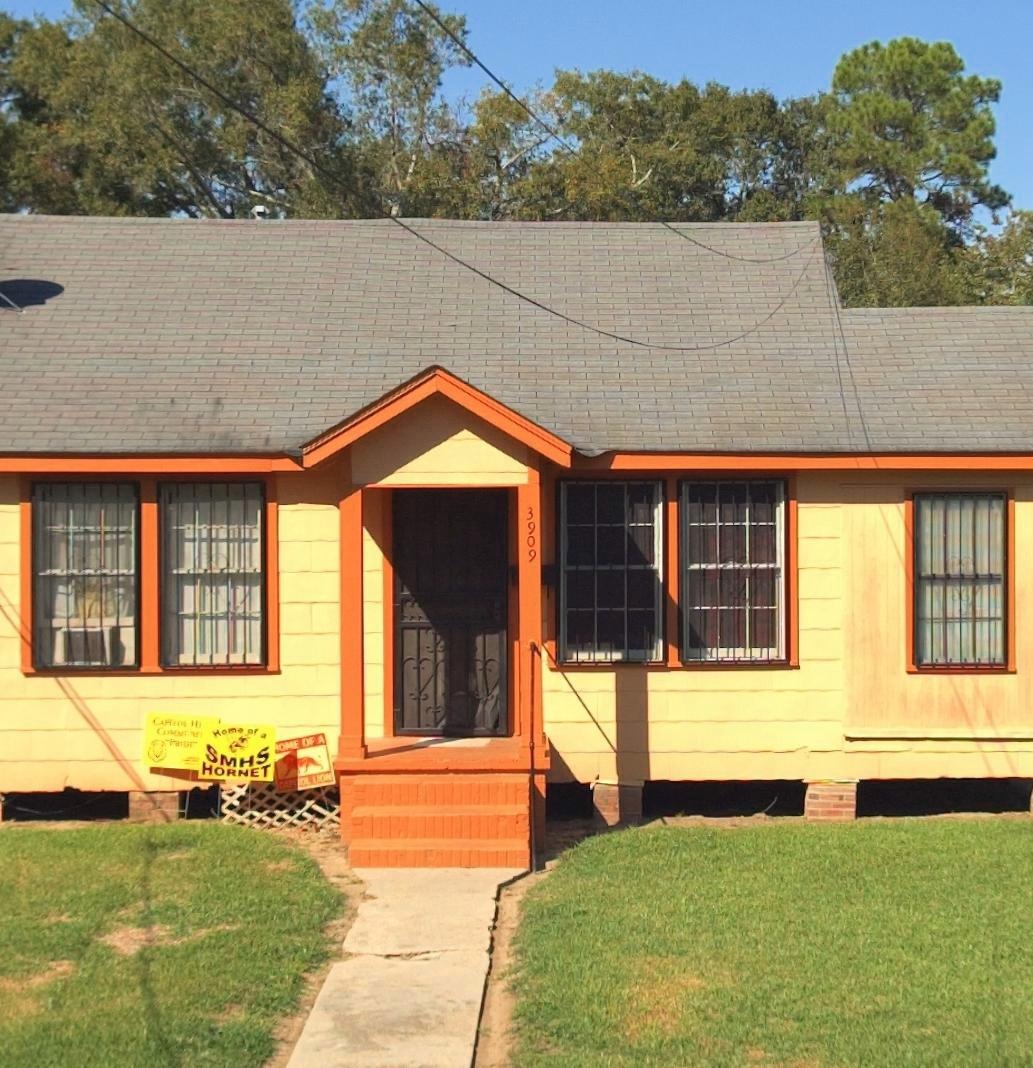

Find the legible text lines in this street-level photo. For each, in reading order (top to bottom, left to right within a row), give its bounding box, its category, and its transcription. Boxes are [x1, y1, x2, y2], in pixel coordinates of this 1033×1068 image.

[524, 505, 538, 564] StreetNumber: 3909
[201, 742, 271, 769] None: SMHS
[208, 723, 272, 741] None: Home of a
[273, 733, 328, 755] None: HOME OF A
[200, 758, 273, 780] None: HORNET
[277, 768, 335, 792] None: CAPITOL LION